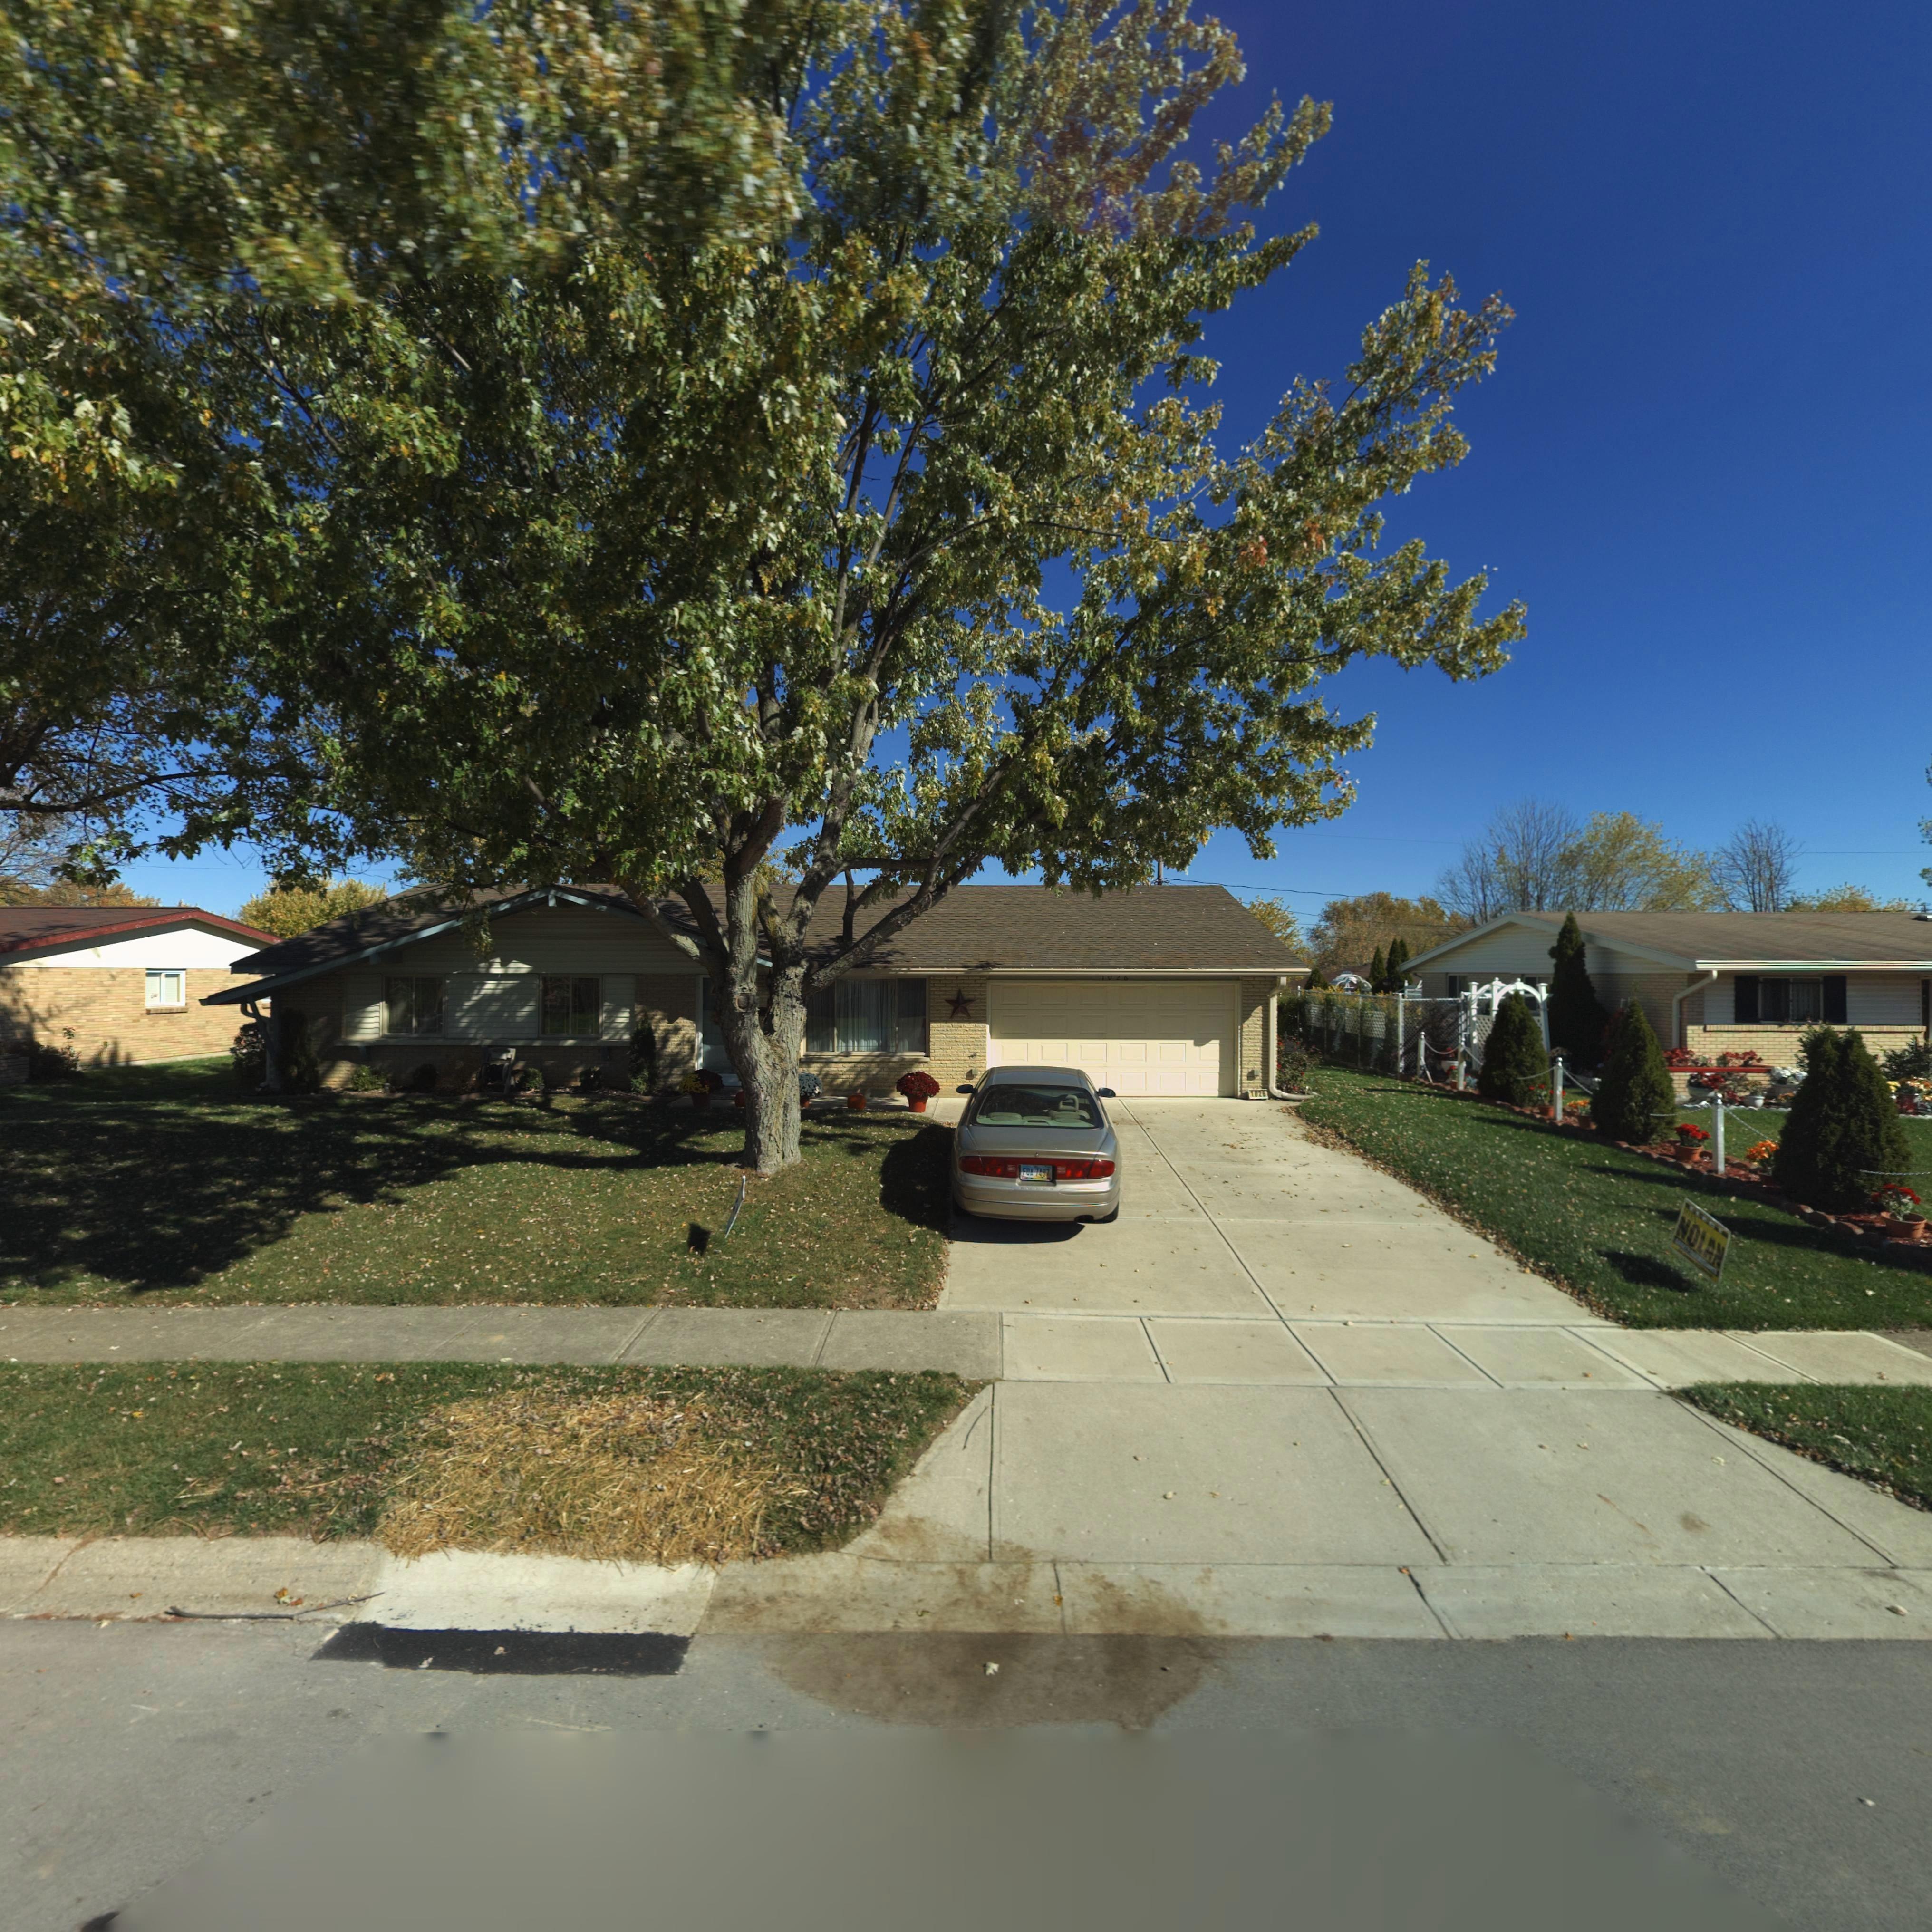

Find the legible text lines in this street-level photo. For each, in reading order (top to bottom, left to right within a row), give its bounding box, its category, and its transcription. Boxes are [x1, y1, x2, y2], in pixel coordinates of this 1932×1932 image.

[1249, 1089, 1267, 1098] StreetNumber: 1026